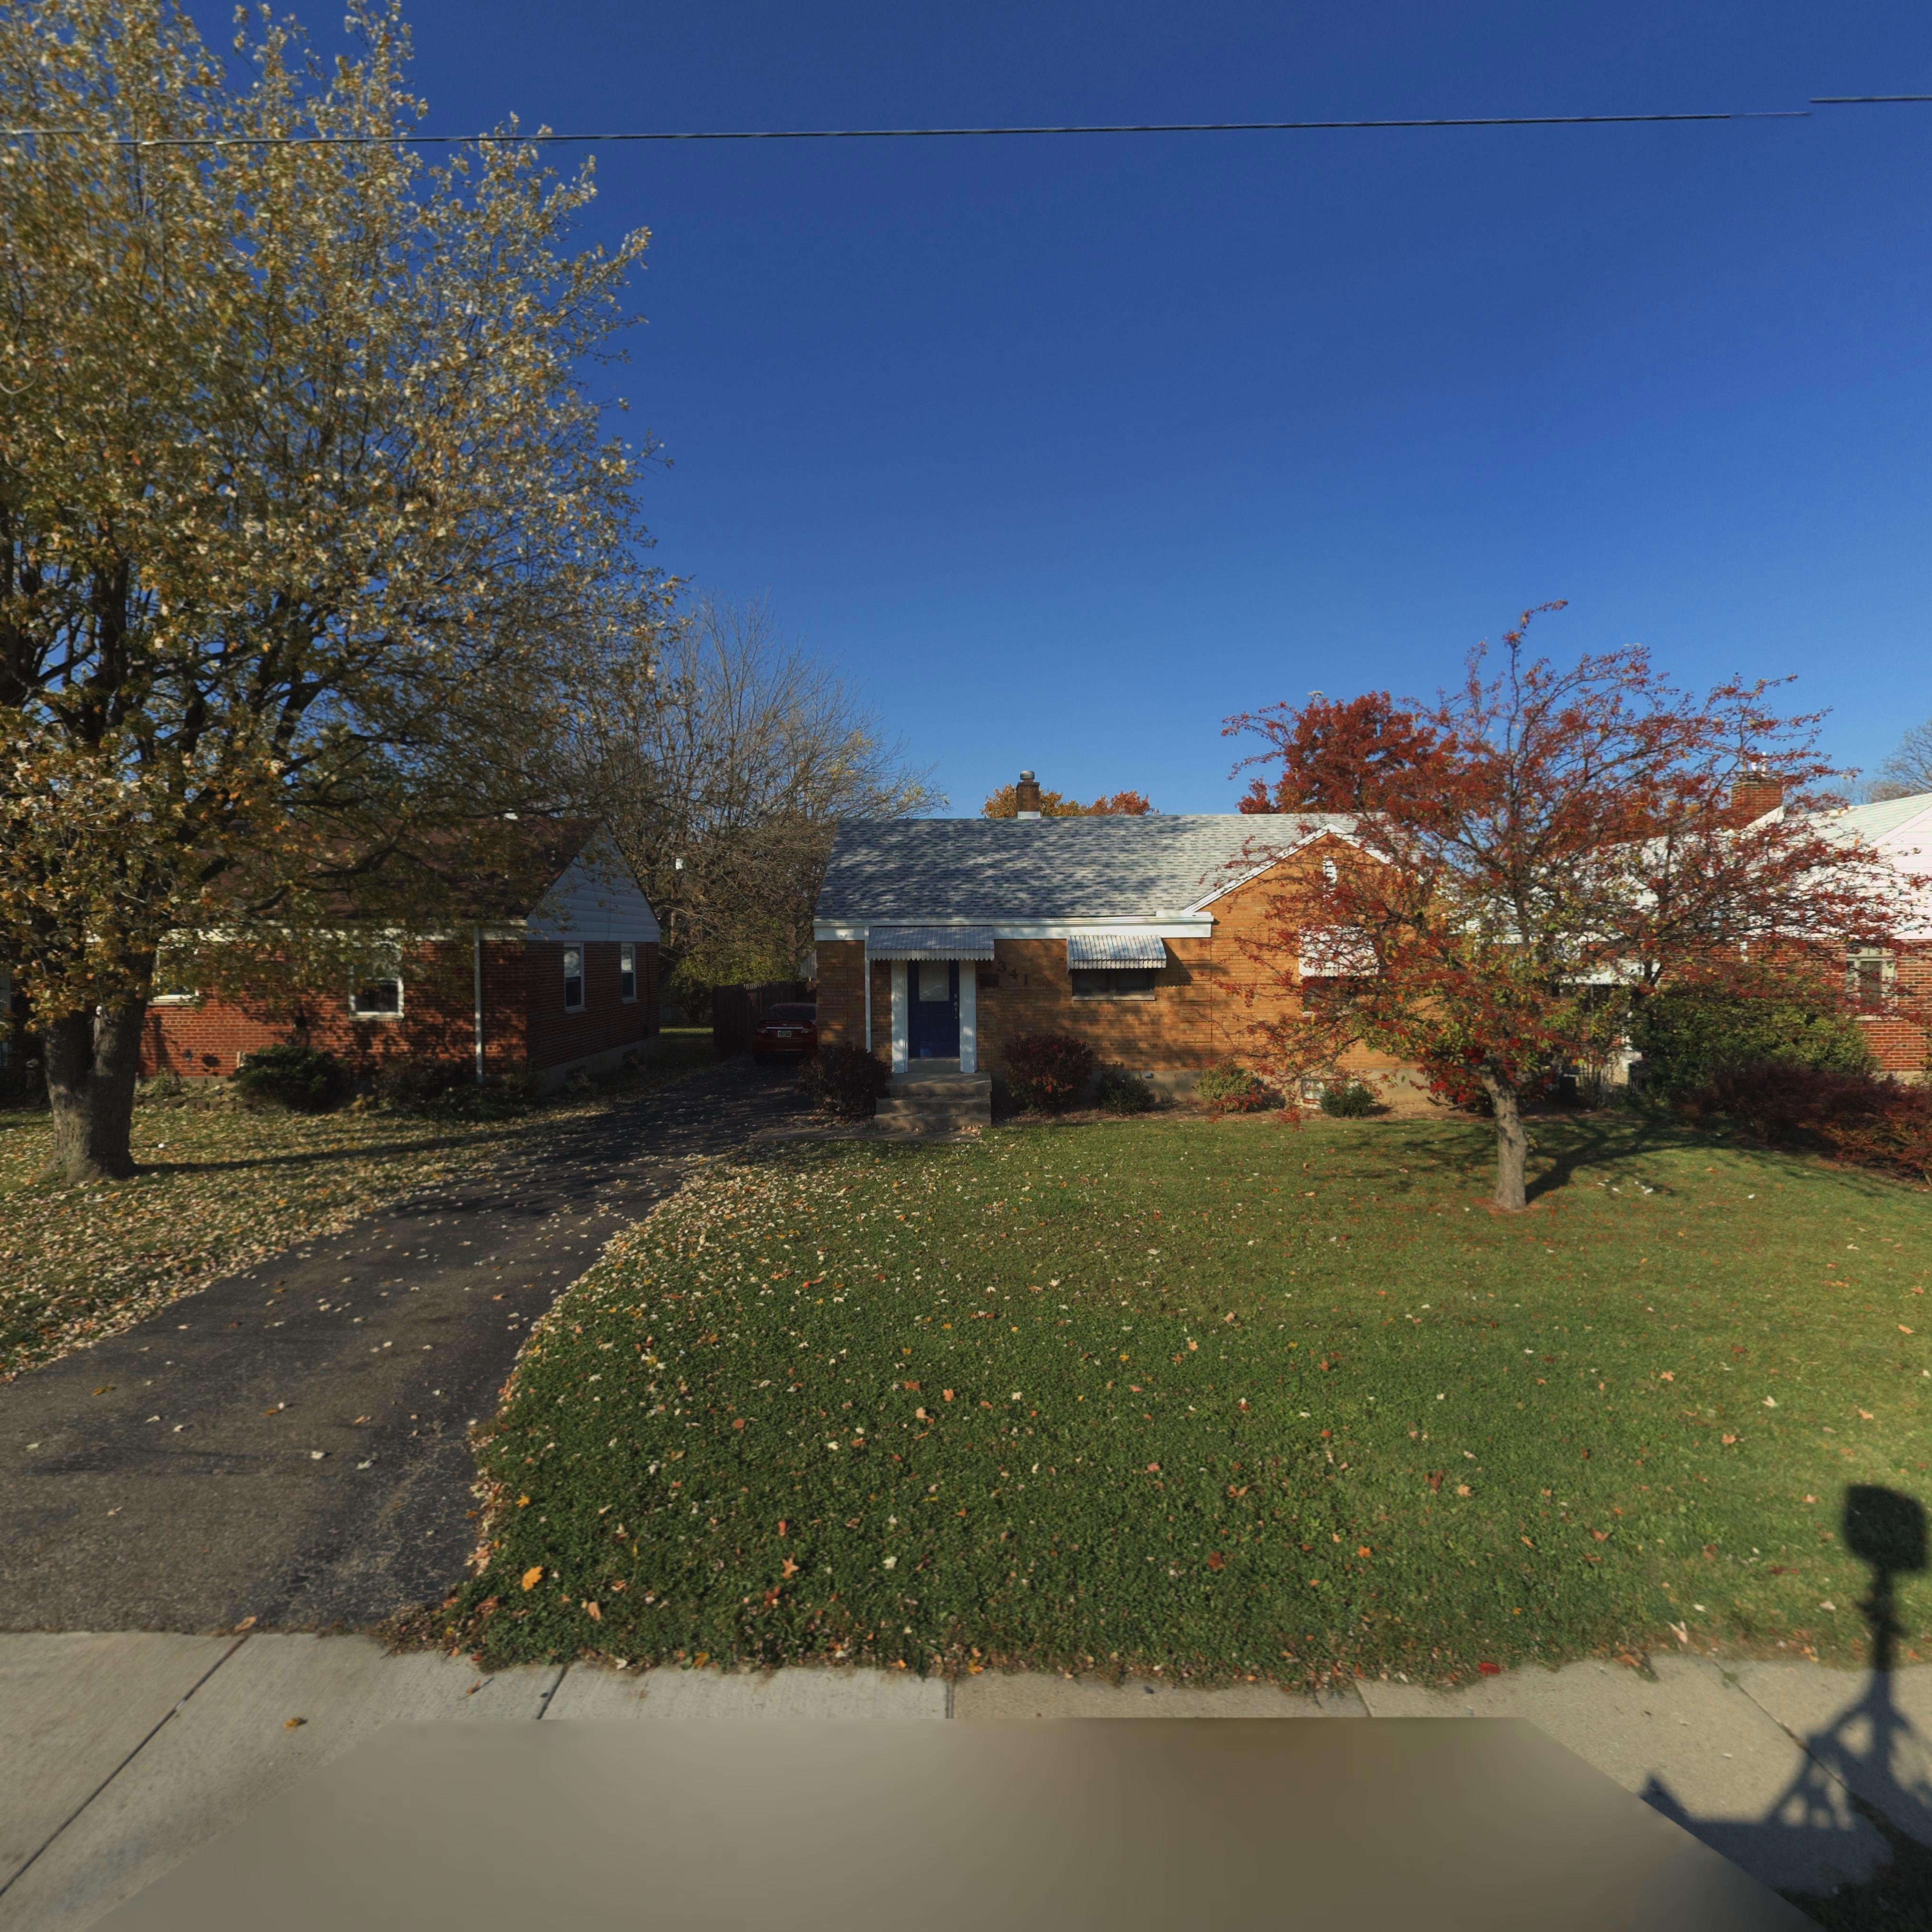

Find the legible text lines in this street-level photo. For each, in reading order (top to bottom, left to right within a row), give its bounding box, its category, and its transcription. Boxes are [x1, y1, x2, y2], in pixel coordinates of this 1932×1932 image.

[996, 959, 1030, 986] StreetNumber: 341